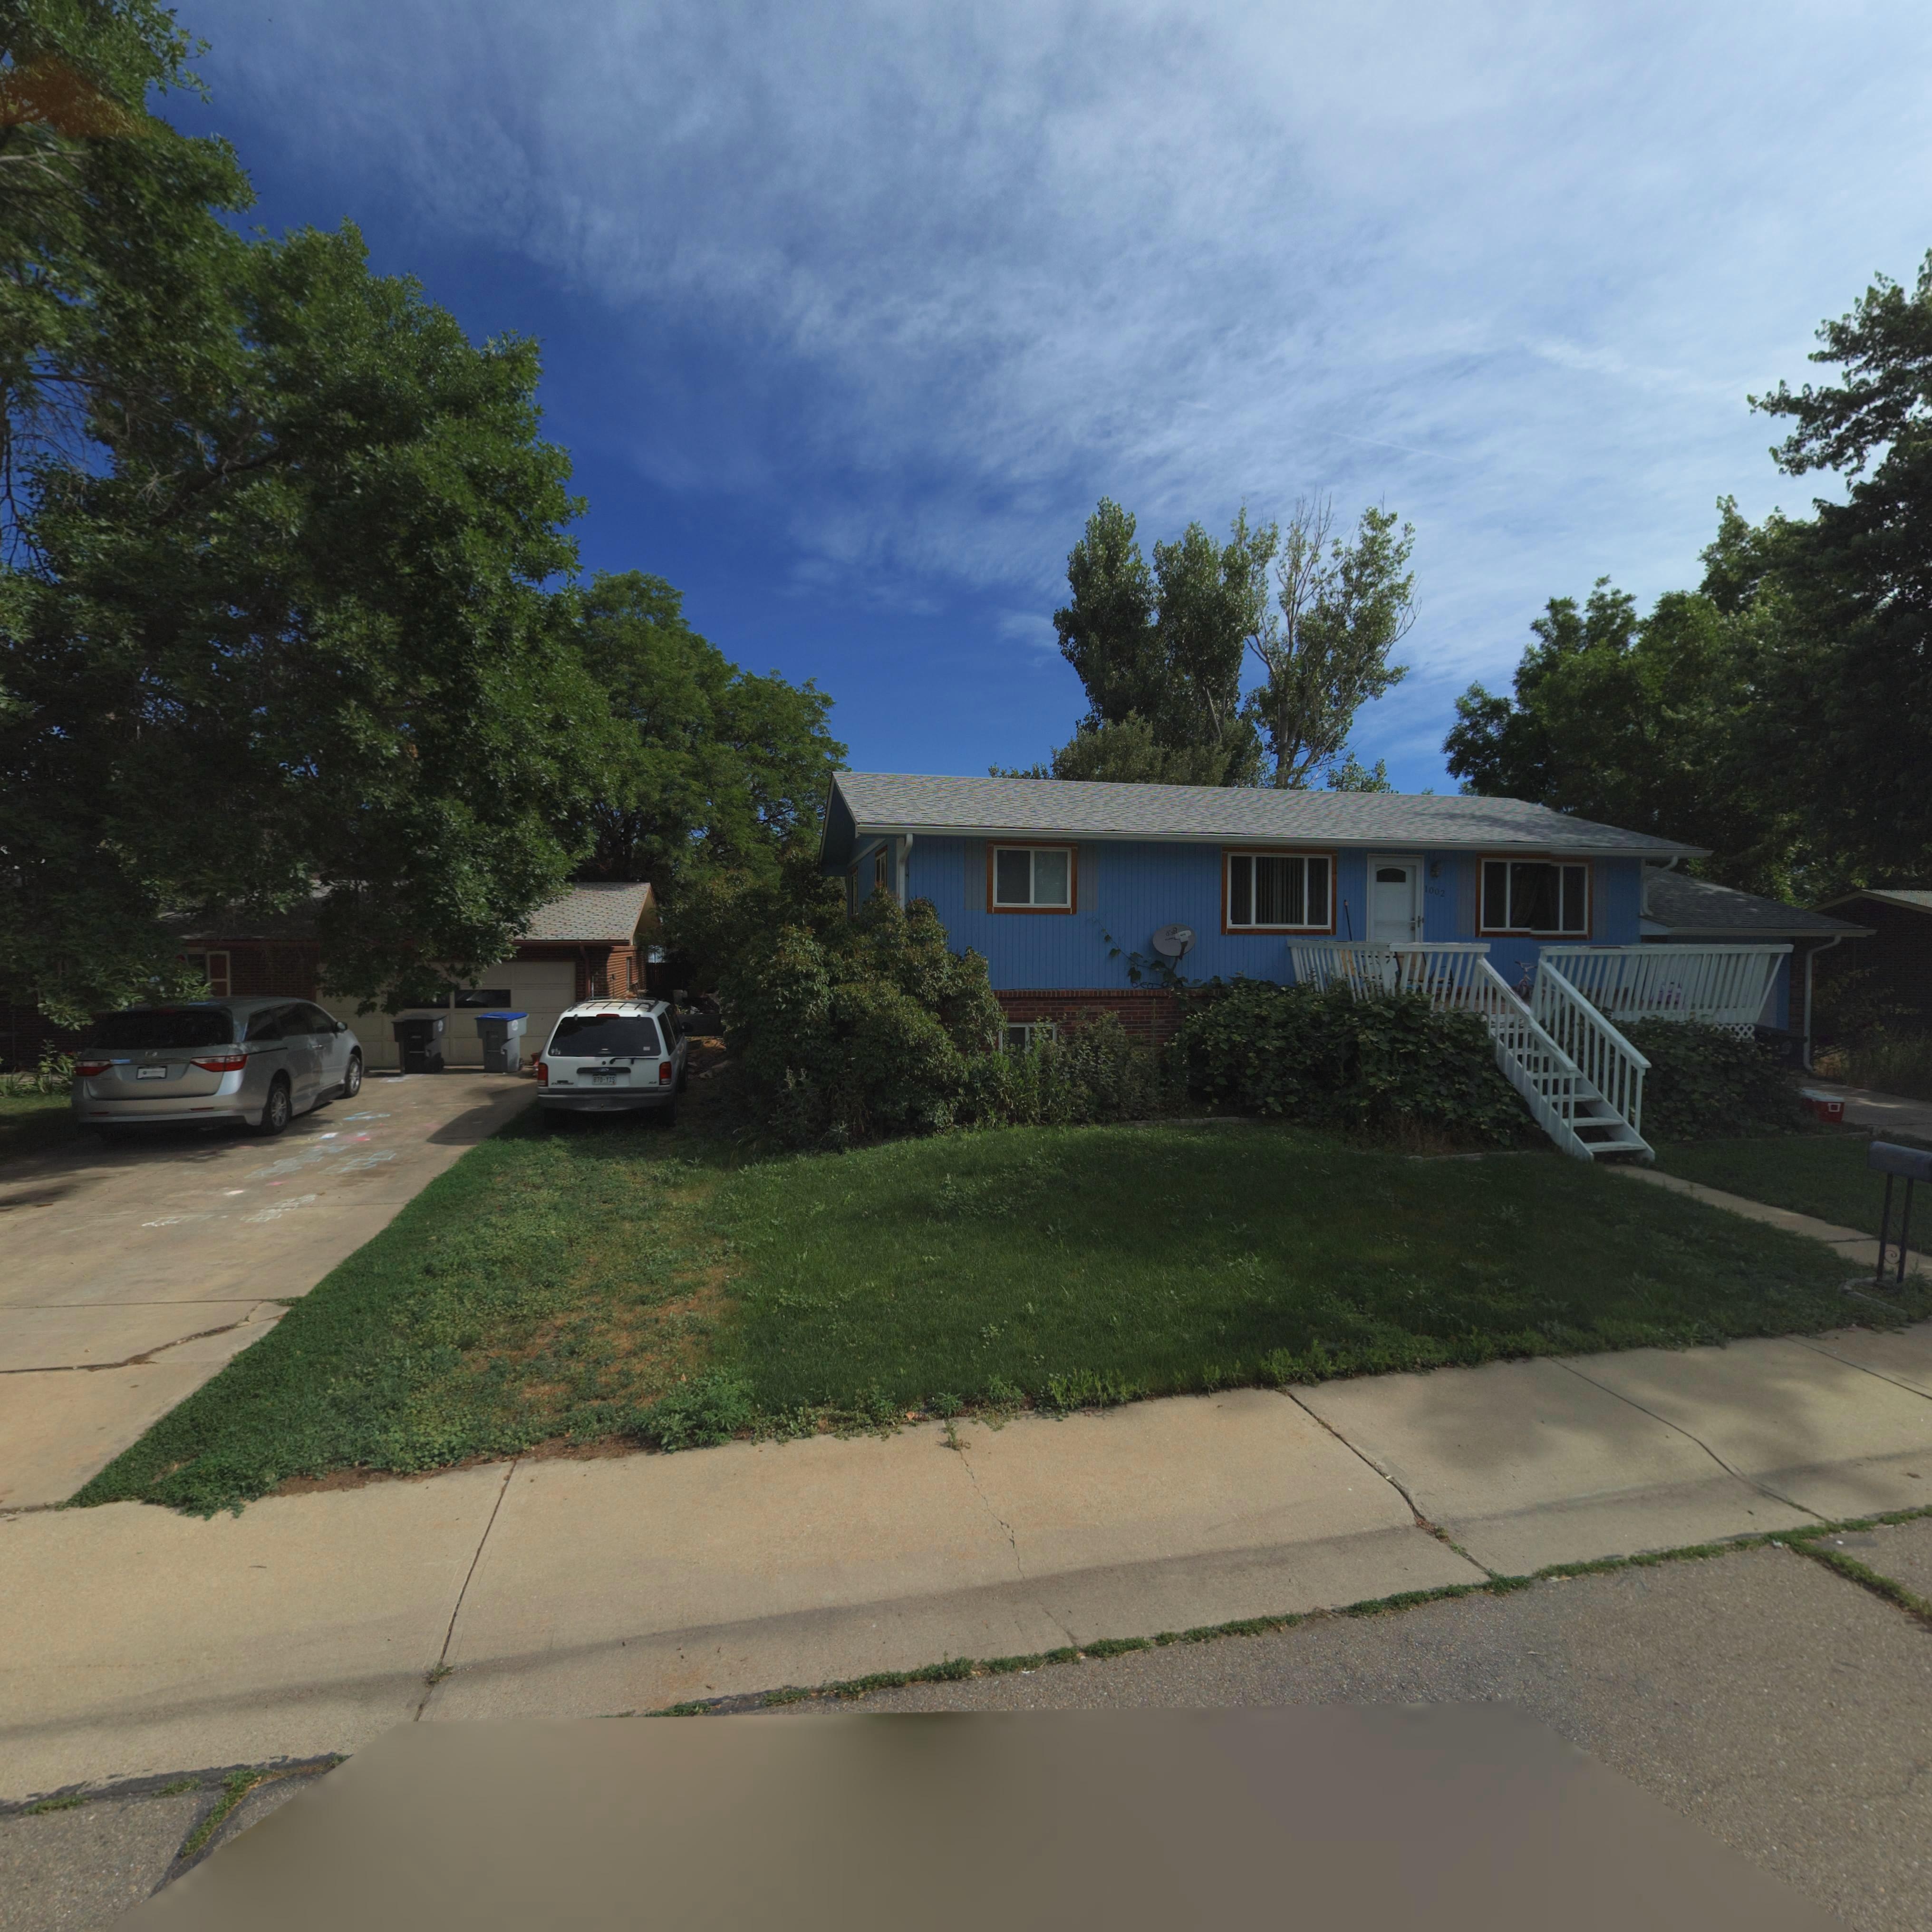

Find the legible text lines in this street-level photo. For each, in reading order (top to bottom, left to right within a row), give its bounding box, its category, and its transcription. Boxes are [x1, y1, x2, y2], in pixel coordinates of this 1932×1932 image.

[1424, 885, 1445, 898] StreetNumber: 1002